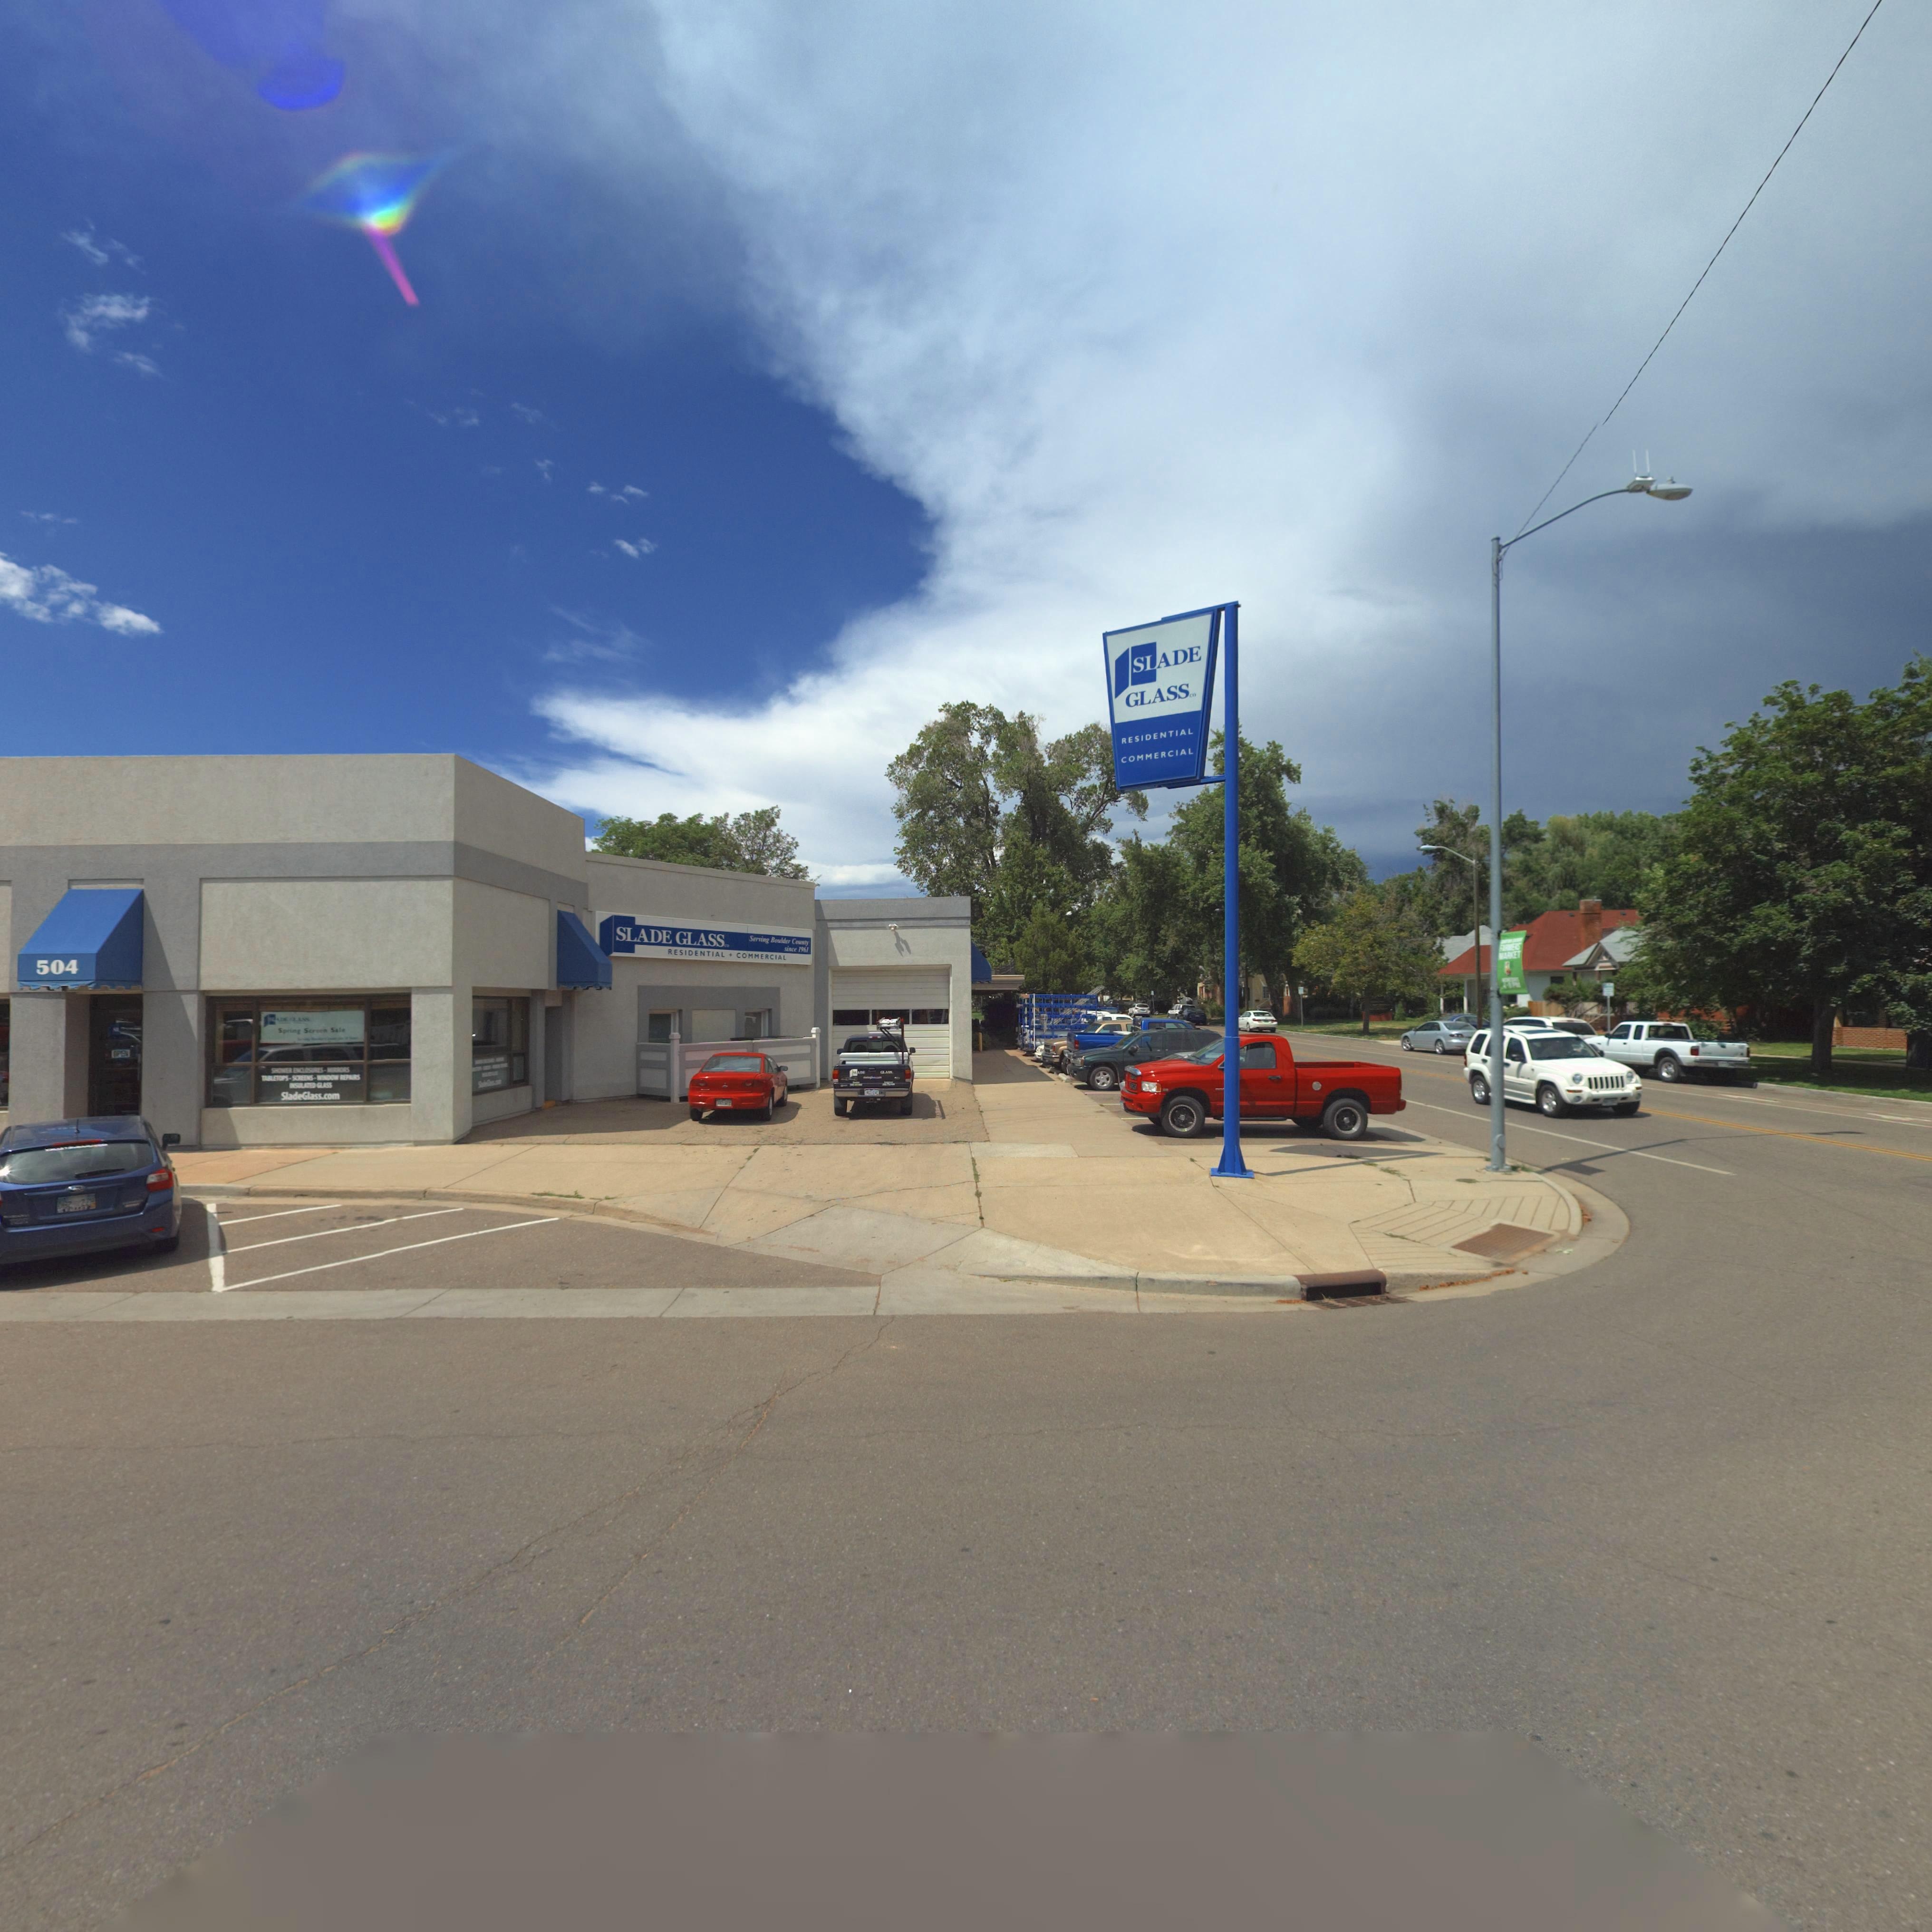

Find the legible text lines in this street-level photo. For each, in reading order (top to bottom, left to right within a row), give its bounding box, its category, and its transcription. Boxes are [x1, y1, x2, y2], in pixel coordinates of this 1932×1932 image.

[1132, 645, 1201, 674] BusinessName: SLADE
[1125, 683, 1190, 707] BusinessName: GLASS
[615, 926, 725, 947] BusinessName: SLADE GLASS
[36, 959, 78, 975] StreetNumber: 504
[269, 1016, 310, 1022] BusinessName: SLADE GLASS